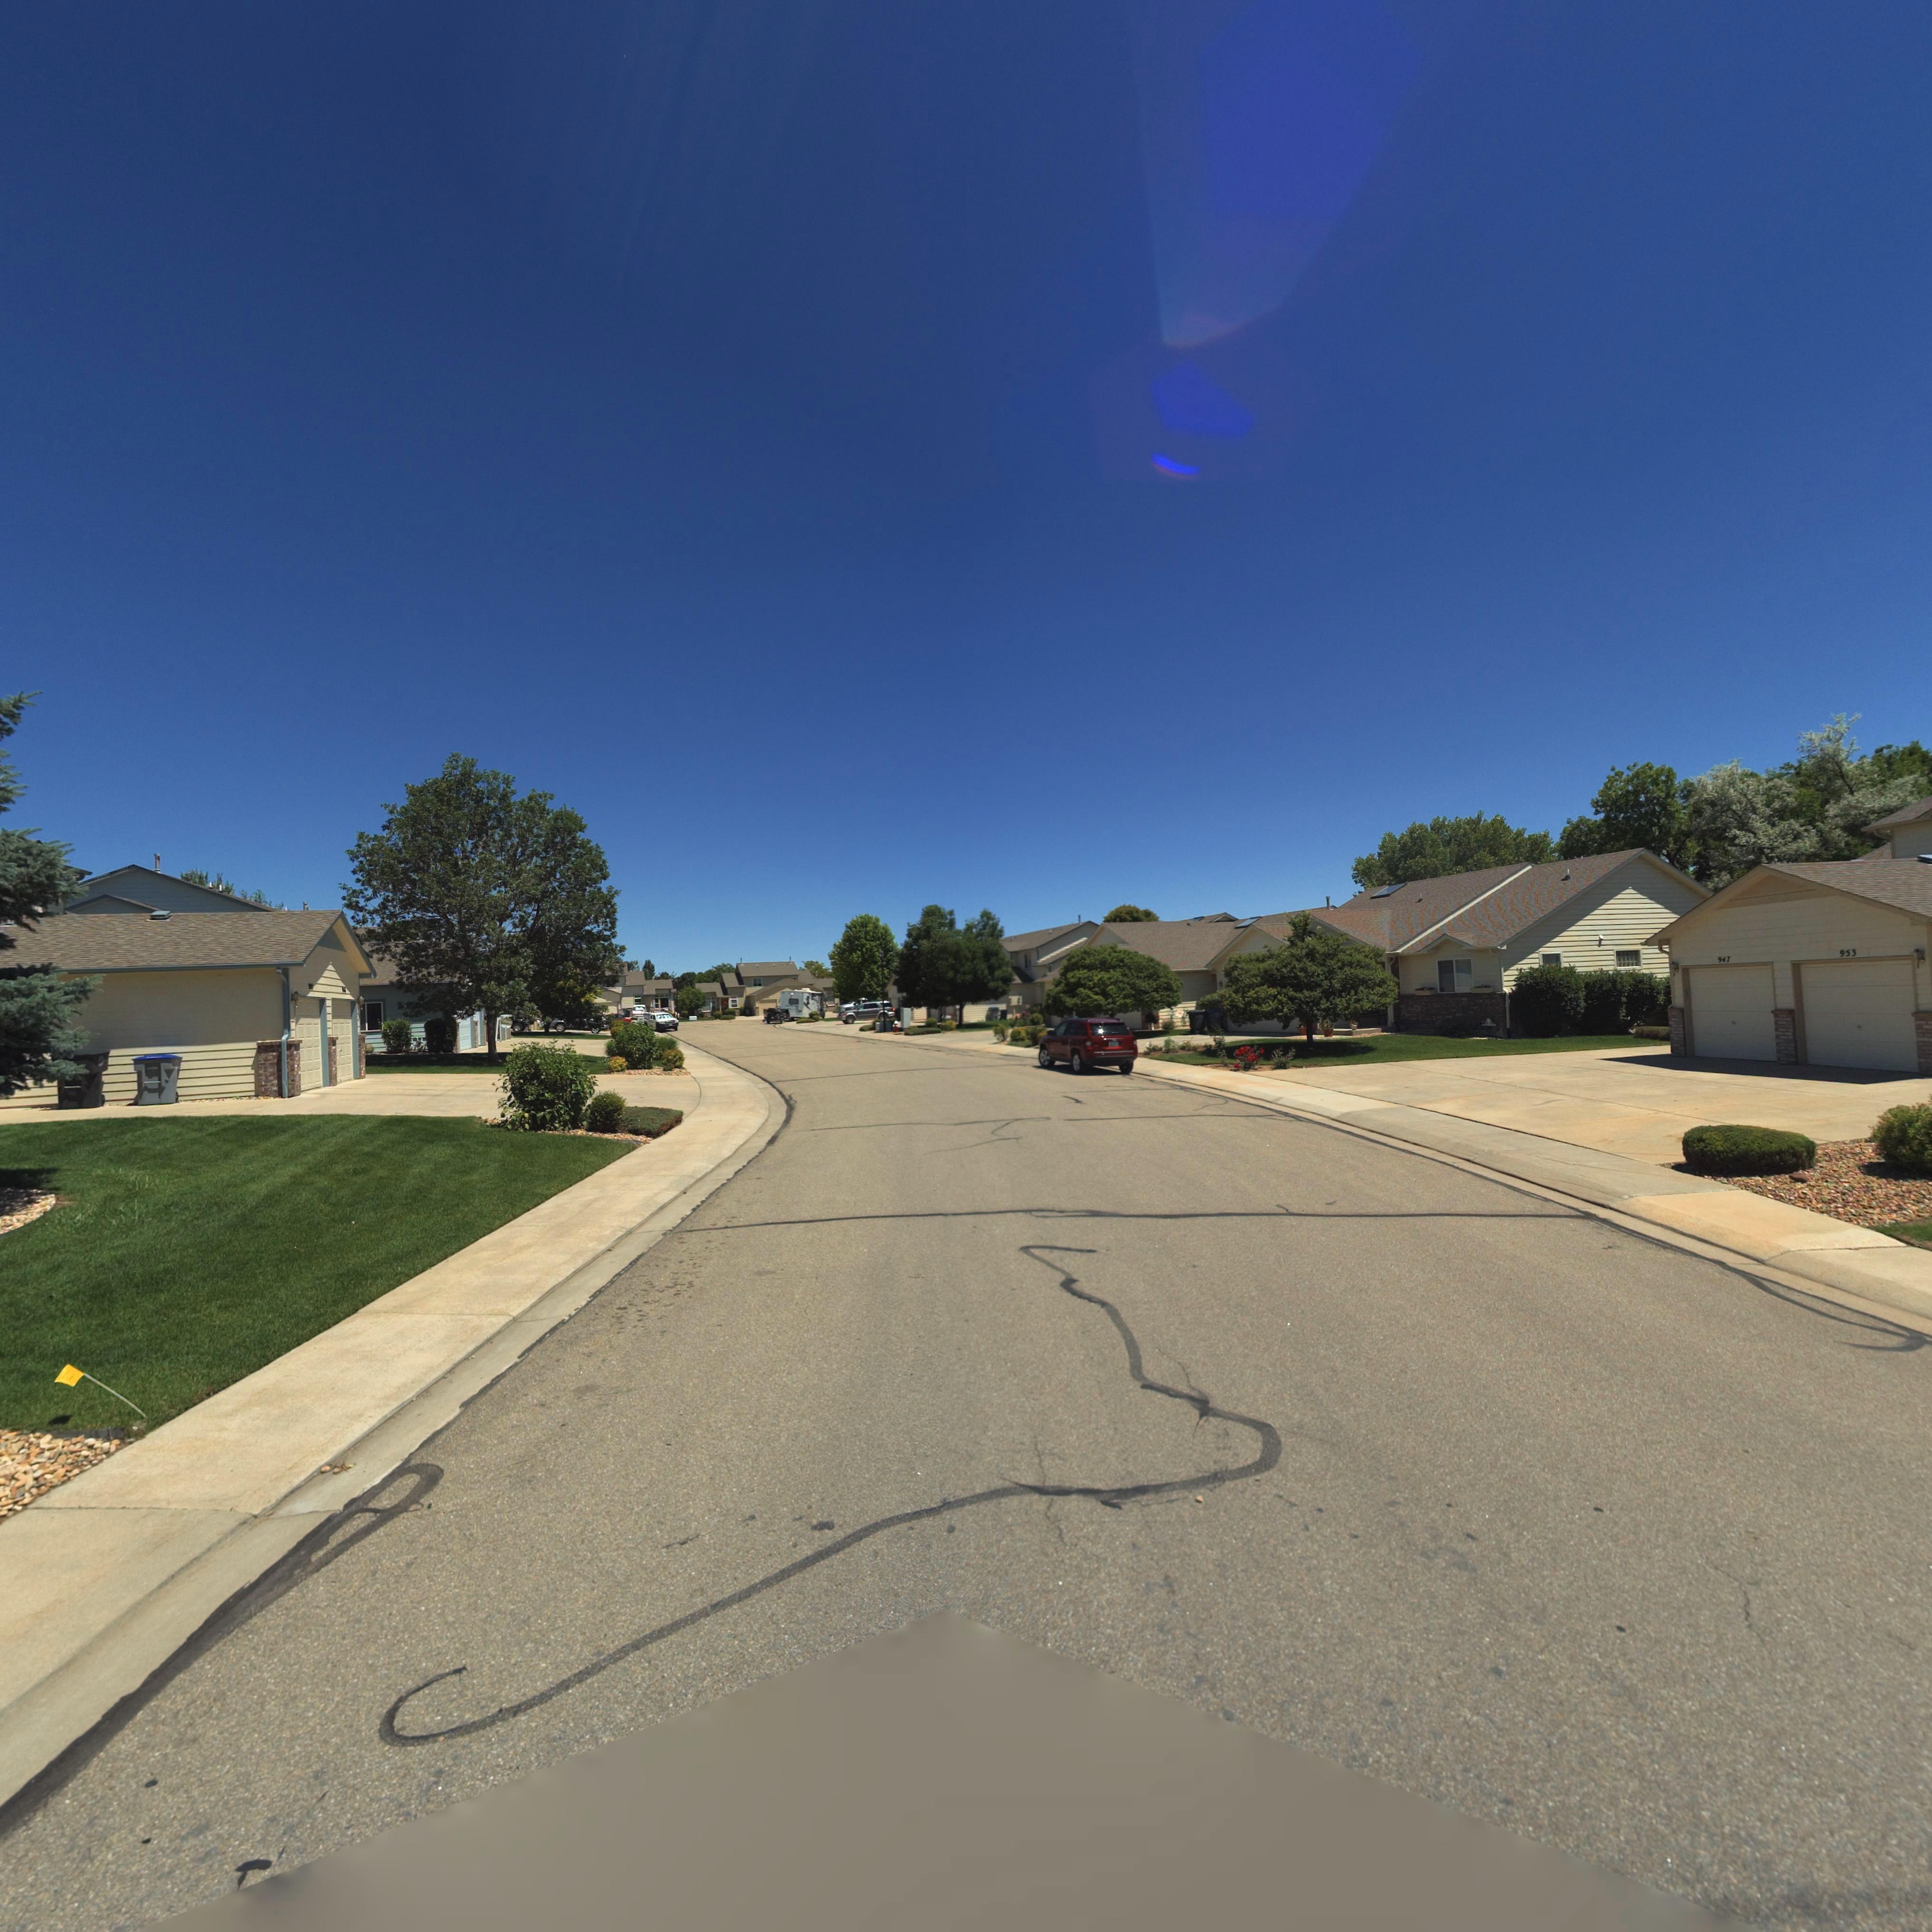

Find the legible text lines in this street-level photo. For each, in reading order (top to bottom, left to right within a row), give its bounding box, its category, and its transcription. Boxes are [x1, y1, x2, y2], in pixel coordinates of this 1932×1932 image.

[1839, 948, 1857, 957] StreetNumber: 953
[1717, 956, 1731, 963] StreetNumber: 947
[308, 983, 313, 989] StreetNumber: 9**